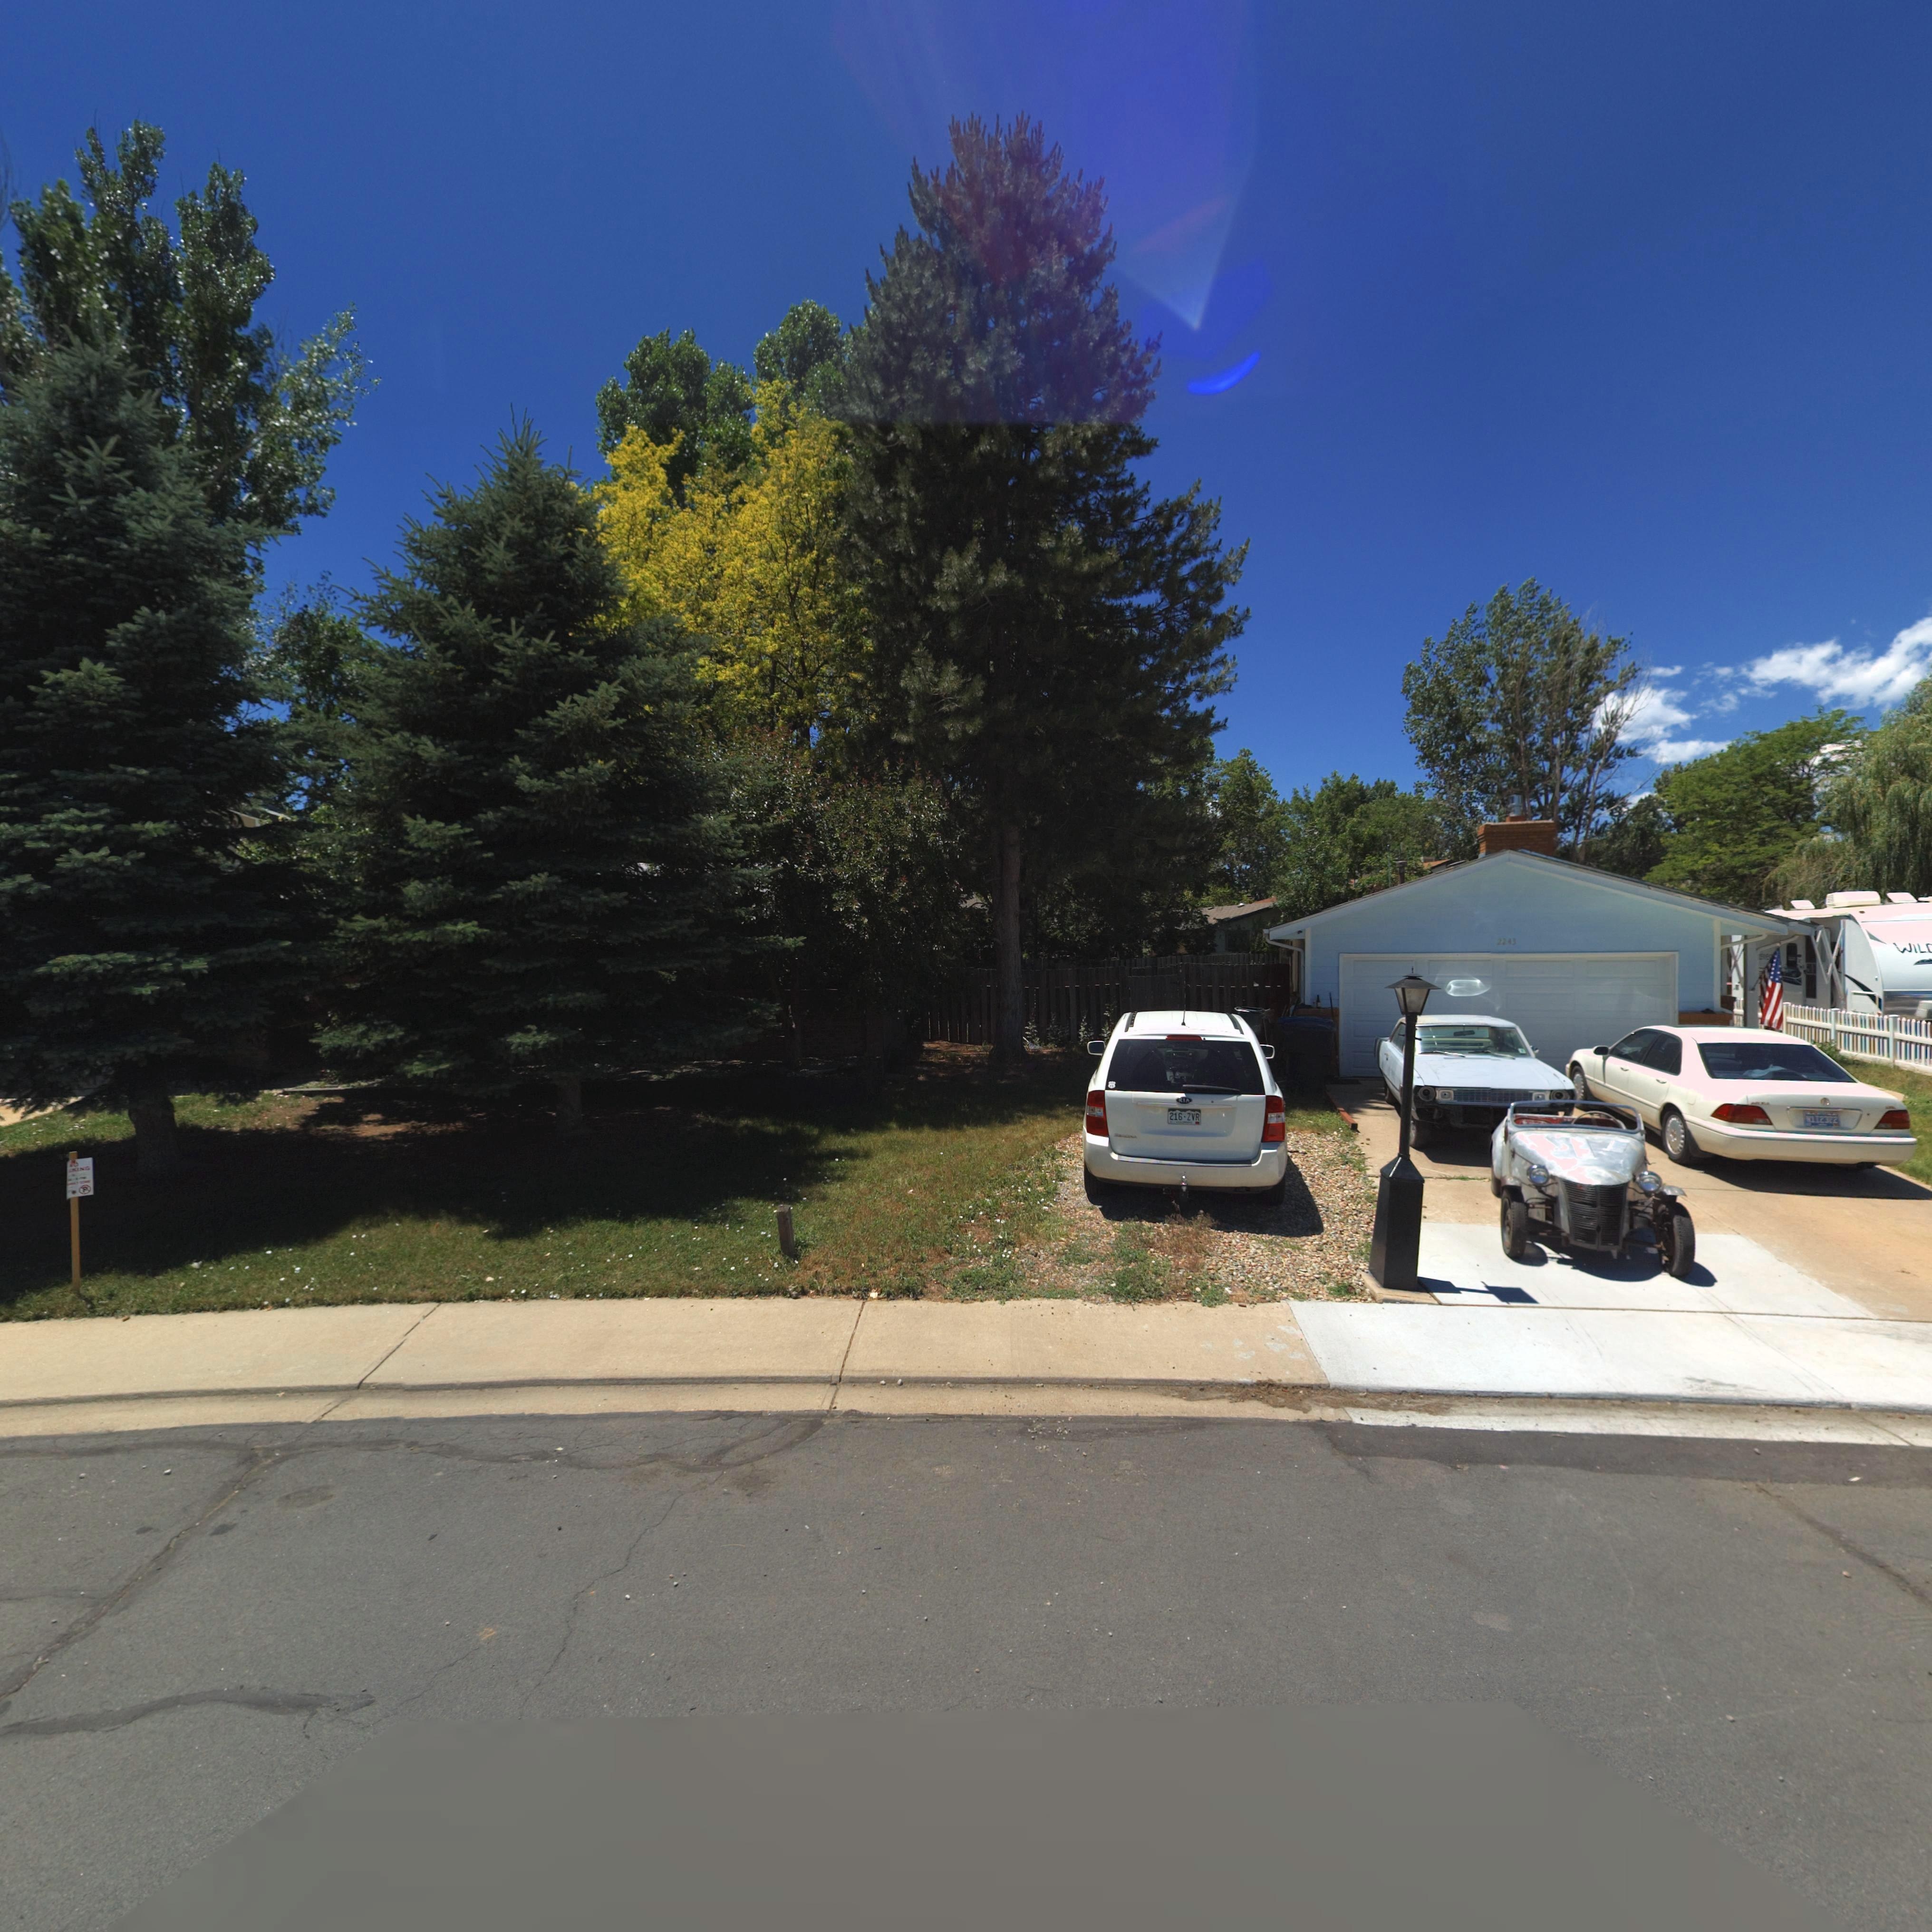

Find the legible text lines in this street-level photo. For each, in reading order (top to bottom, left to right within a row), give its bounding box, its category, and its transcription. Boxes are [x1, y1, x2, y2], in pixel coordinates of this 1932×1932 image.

[1496, 937, 1516, 945] StreetNumber: 2243